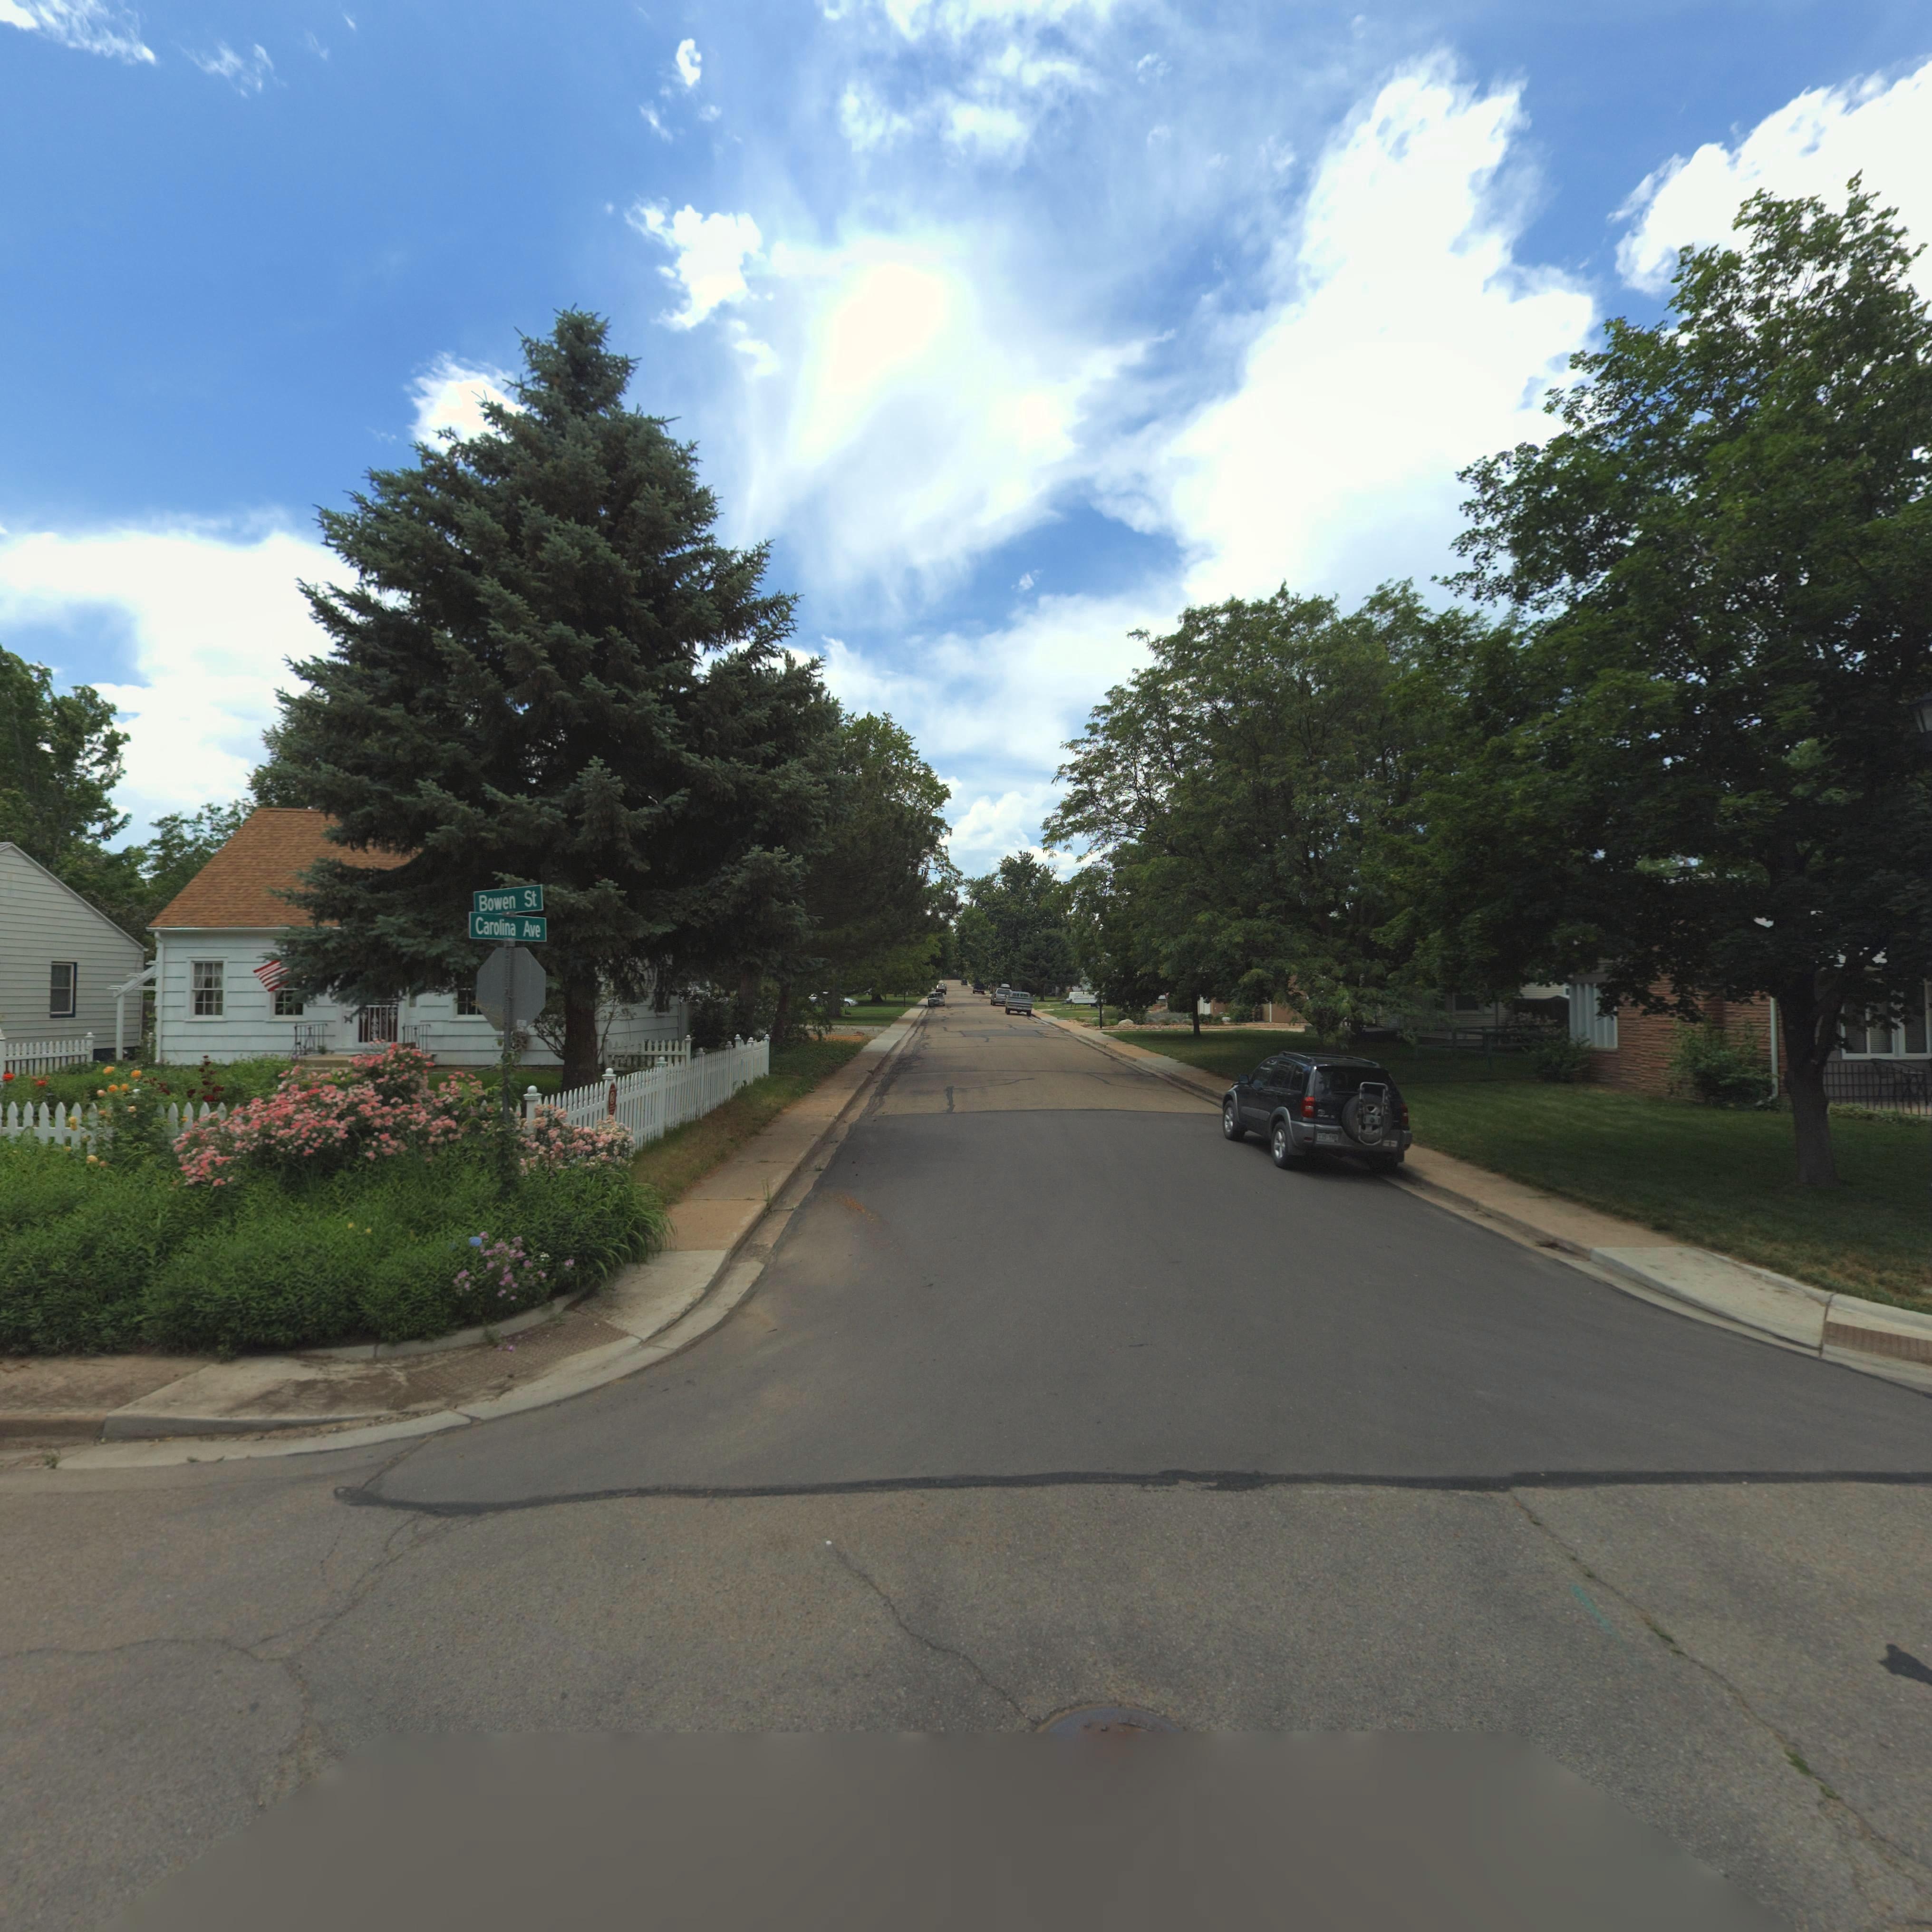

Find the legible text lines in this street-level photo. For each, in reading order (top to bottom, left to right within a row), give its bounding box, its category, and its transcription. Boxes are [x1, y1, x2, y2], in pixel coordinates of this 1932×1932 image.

[478, 889, 537, 912] StreetName: Bowen St
[474, 916, 541, 937] StreetName: Carolina Ave